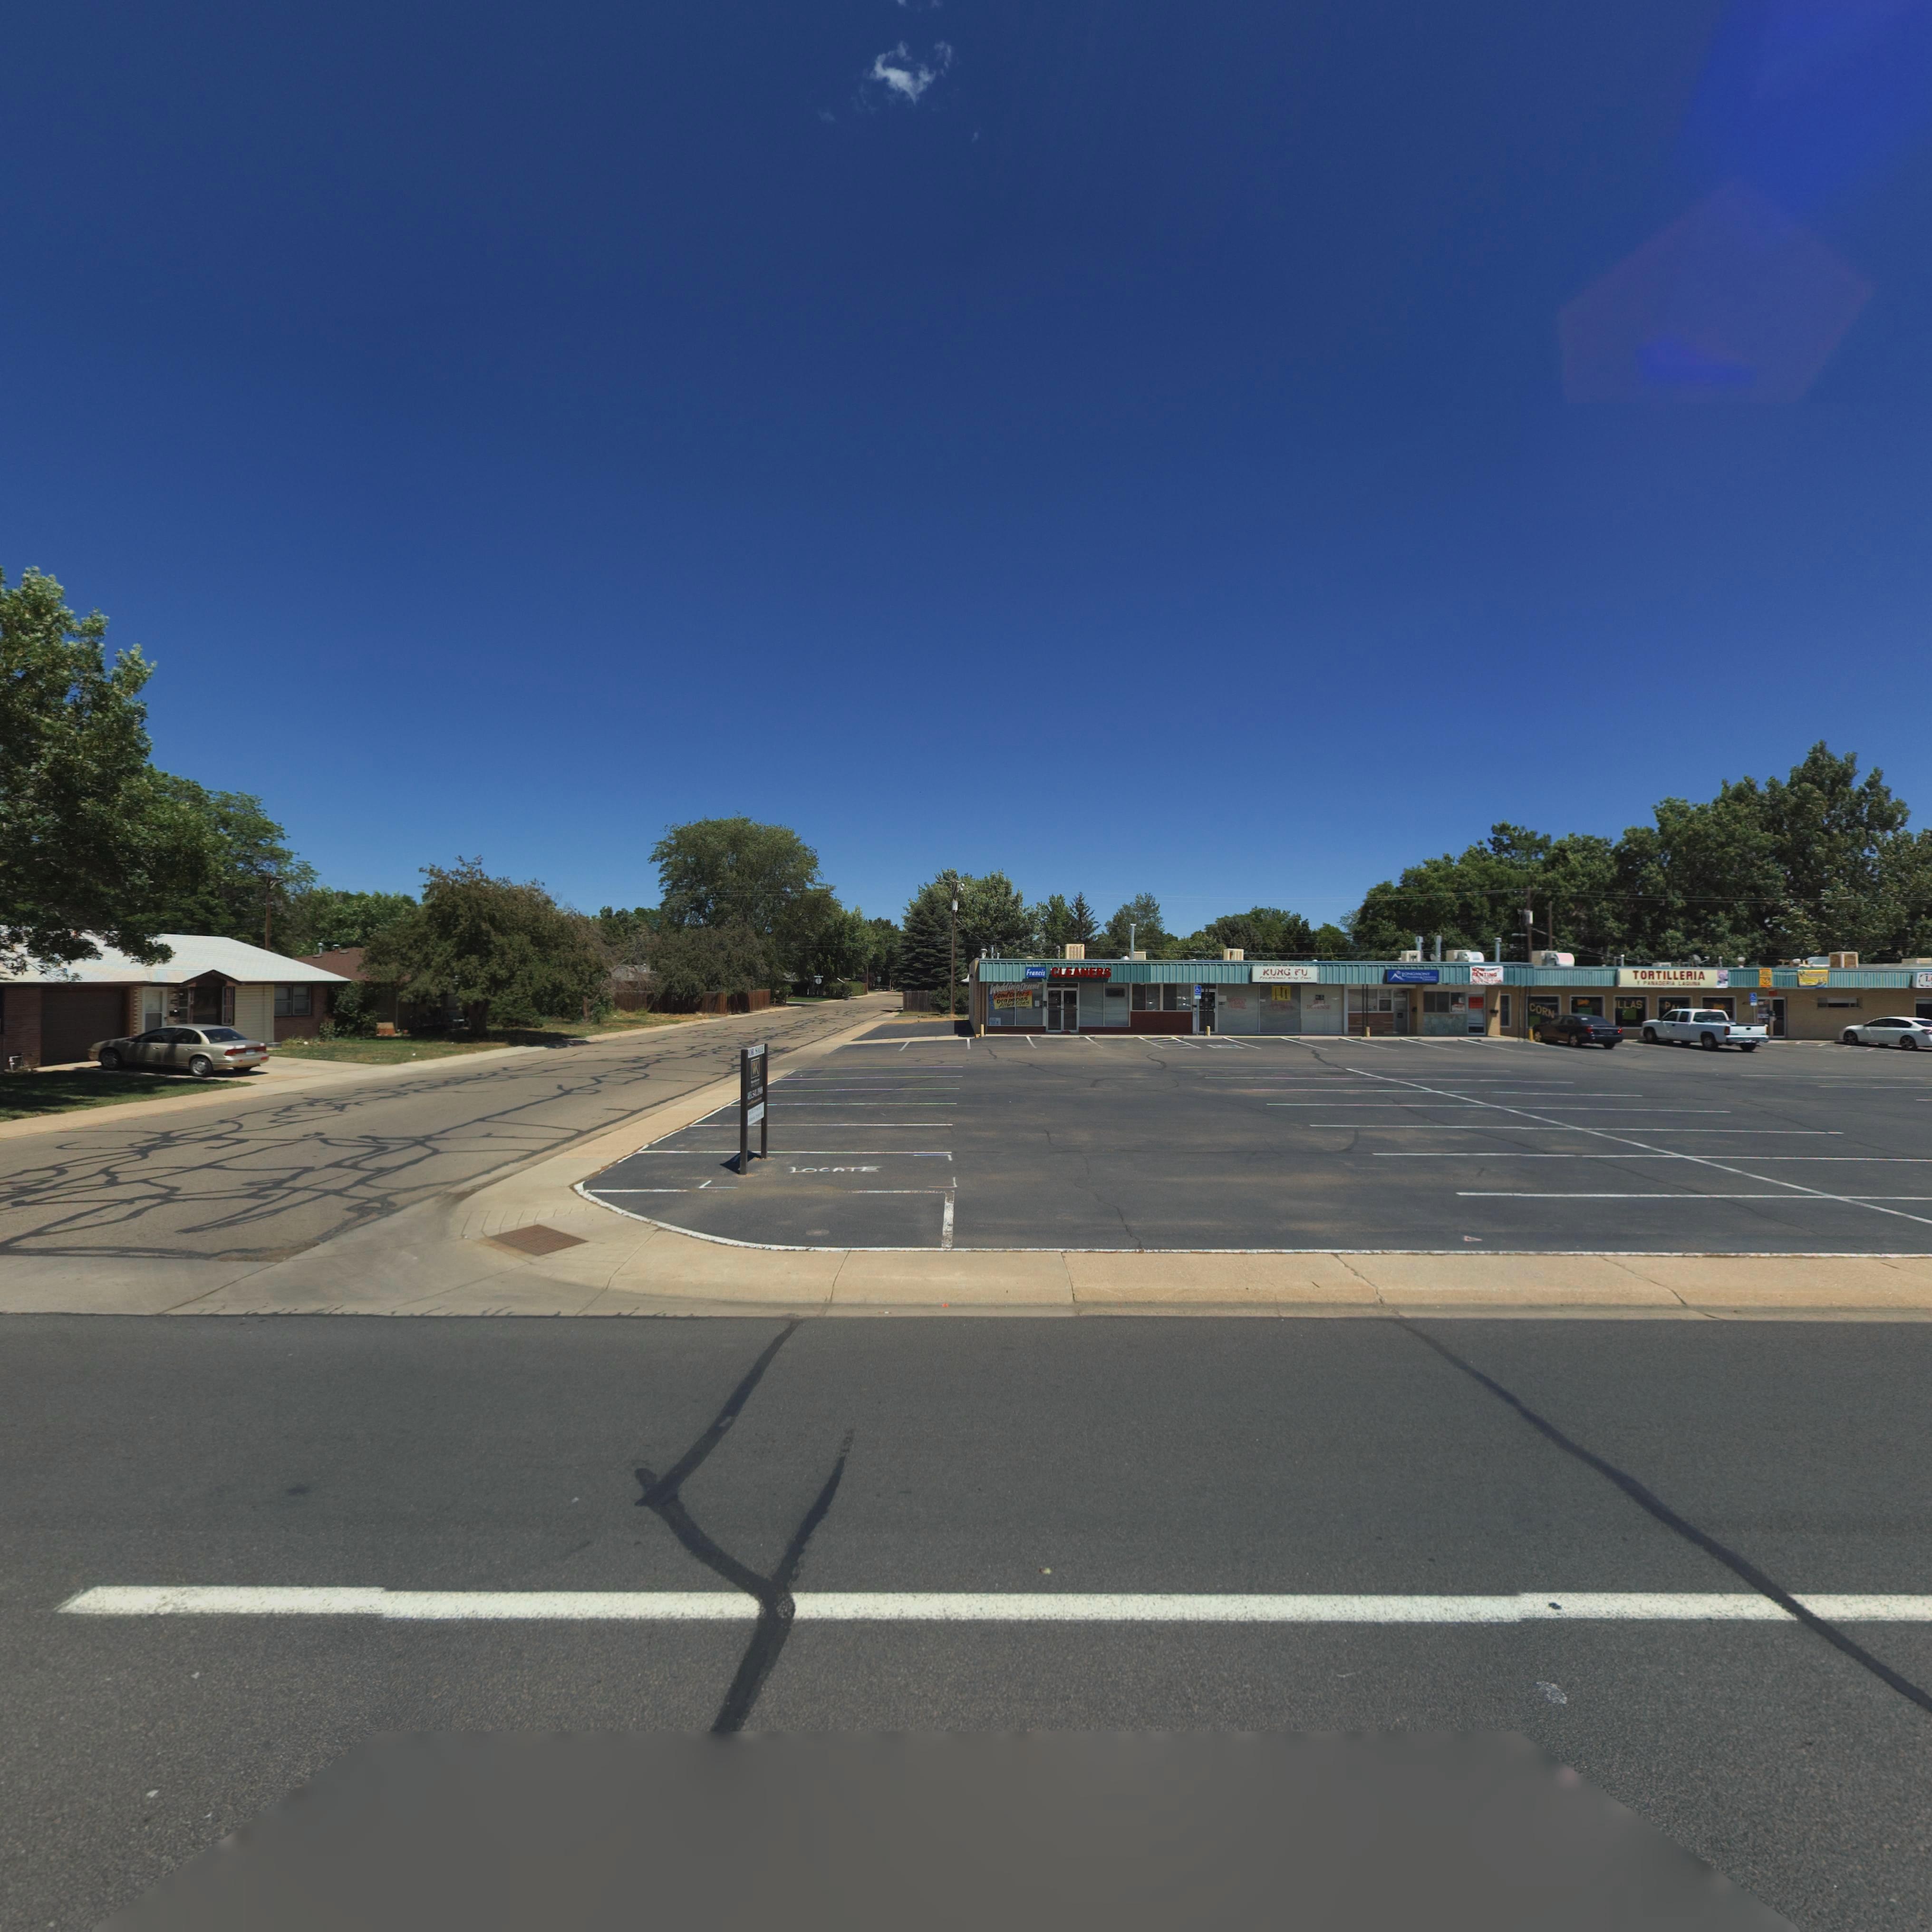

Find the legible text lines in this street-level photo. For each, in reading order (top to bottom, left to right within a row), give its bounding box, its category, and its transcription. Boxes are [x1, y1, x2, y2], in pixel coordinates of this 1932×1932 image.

[1026, 968, 1045, 976] BusinessName: Francis
[1051, 966, 1111, 978] BusinessName: CLEANERS
[1262, 968, 1307, 976] BusinessName: KUNG FU
[1401, 972, 1430, 976] BusinessName: LON**ONT
[1632, 970, 1705, 980] BusinessName: TORTILLERIA
[1636, 981, 1701, 985] BusinessName: * PANADERIA L*****